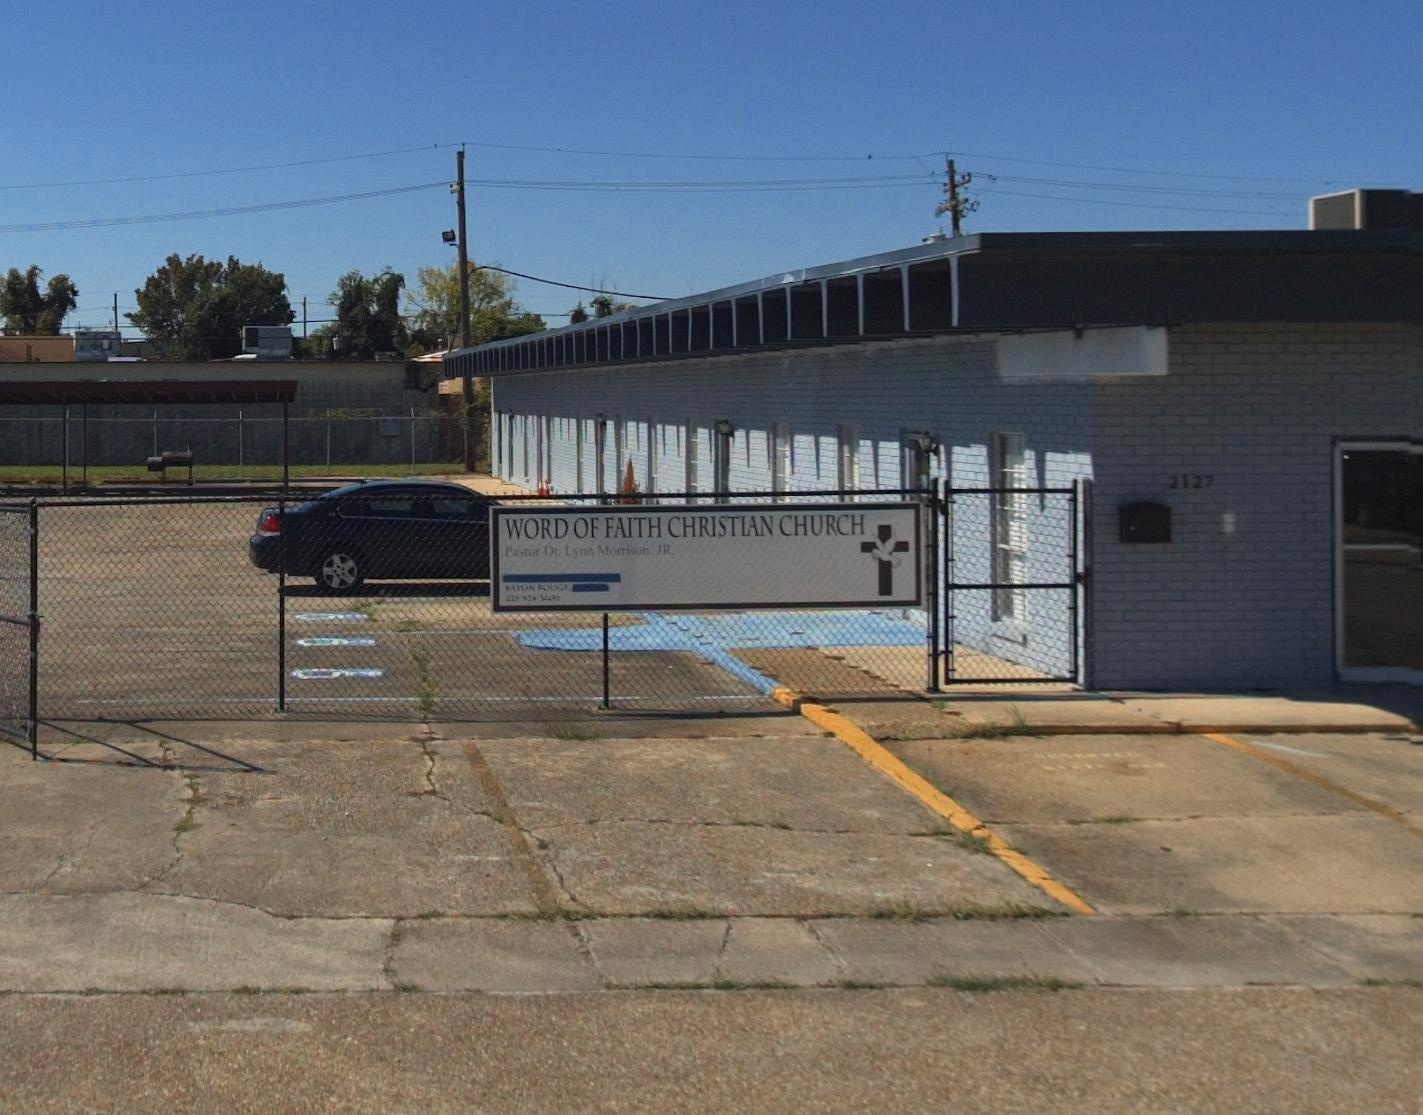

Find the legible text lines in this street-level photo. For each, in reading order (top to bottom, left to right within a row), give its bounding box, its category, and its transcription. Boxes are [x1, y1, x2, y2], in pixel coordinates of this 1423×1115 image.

[1166, 471, 1218, 492] StreetNumber: 2127
[500, 511, 868, 543] BusinessName: WORD OF FAITH CHRISTIAN CHURCH
[503, 542, 678, 562] None: Pastor Dr. Lynn Morrison JR.
[503, 582, 572, 593] None: BATON ROUGE